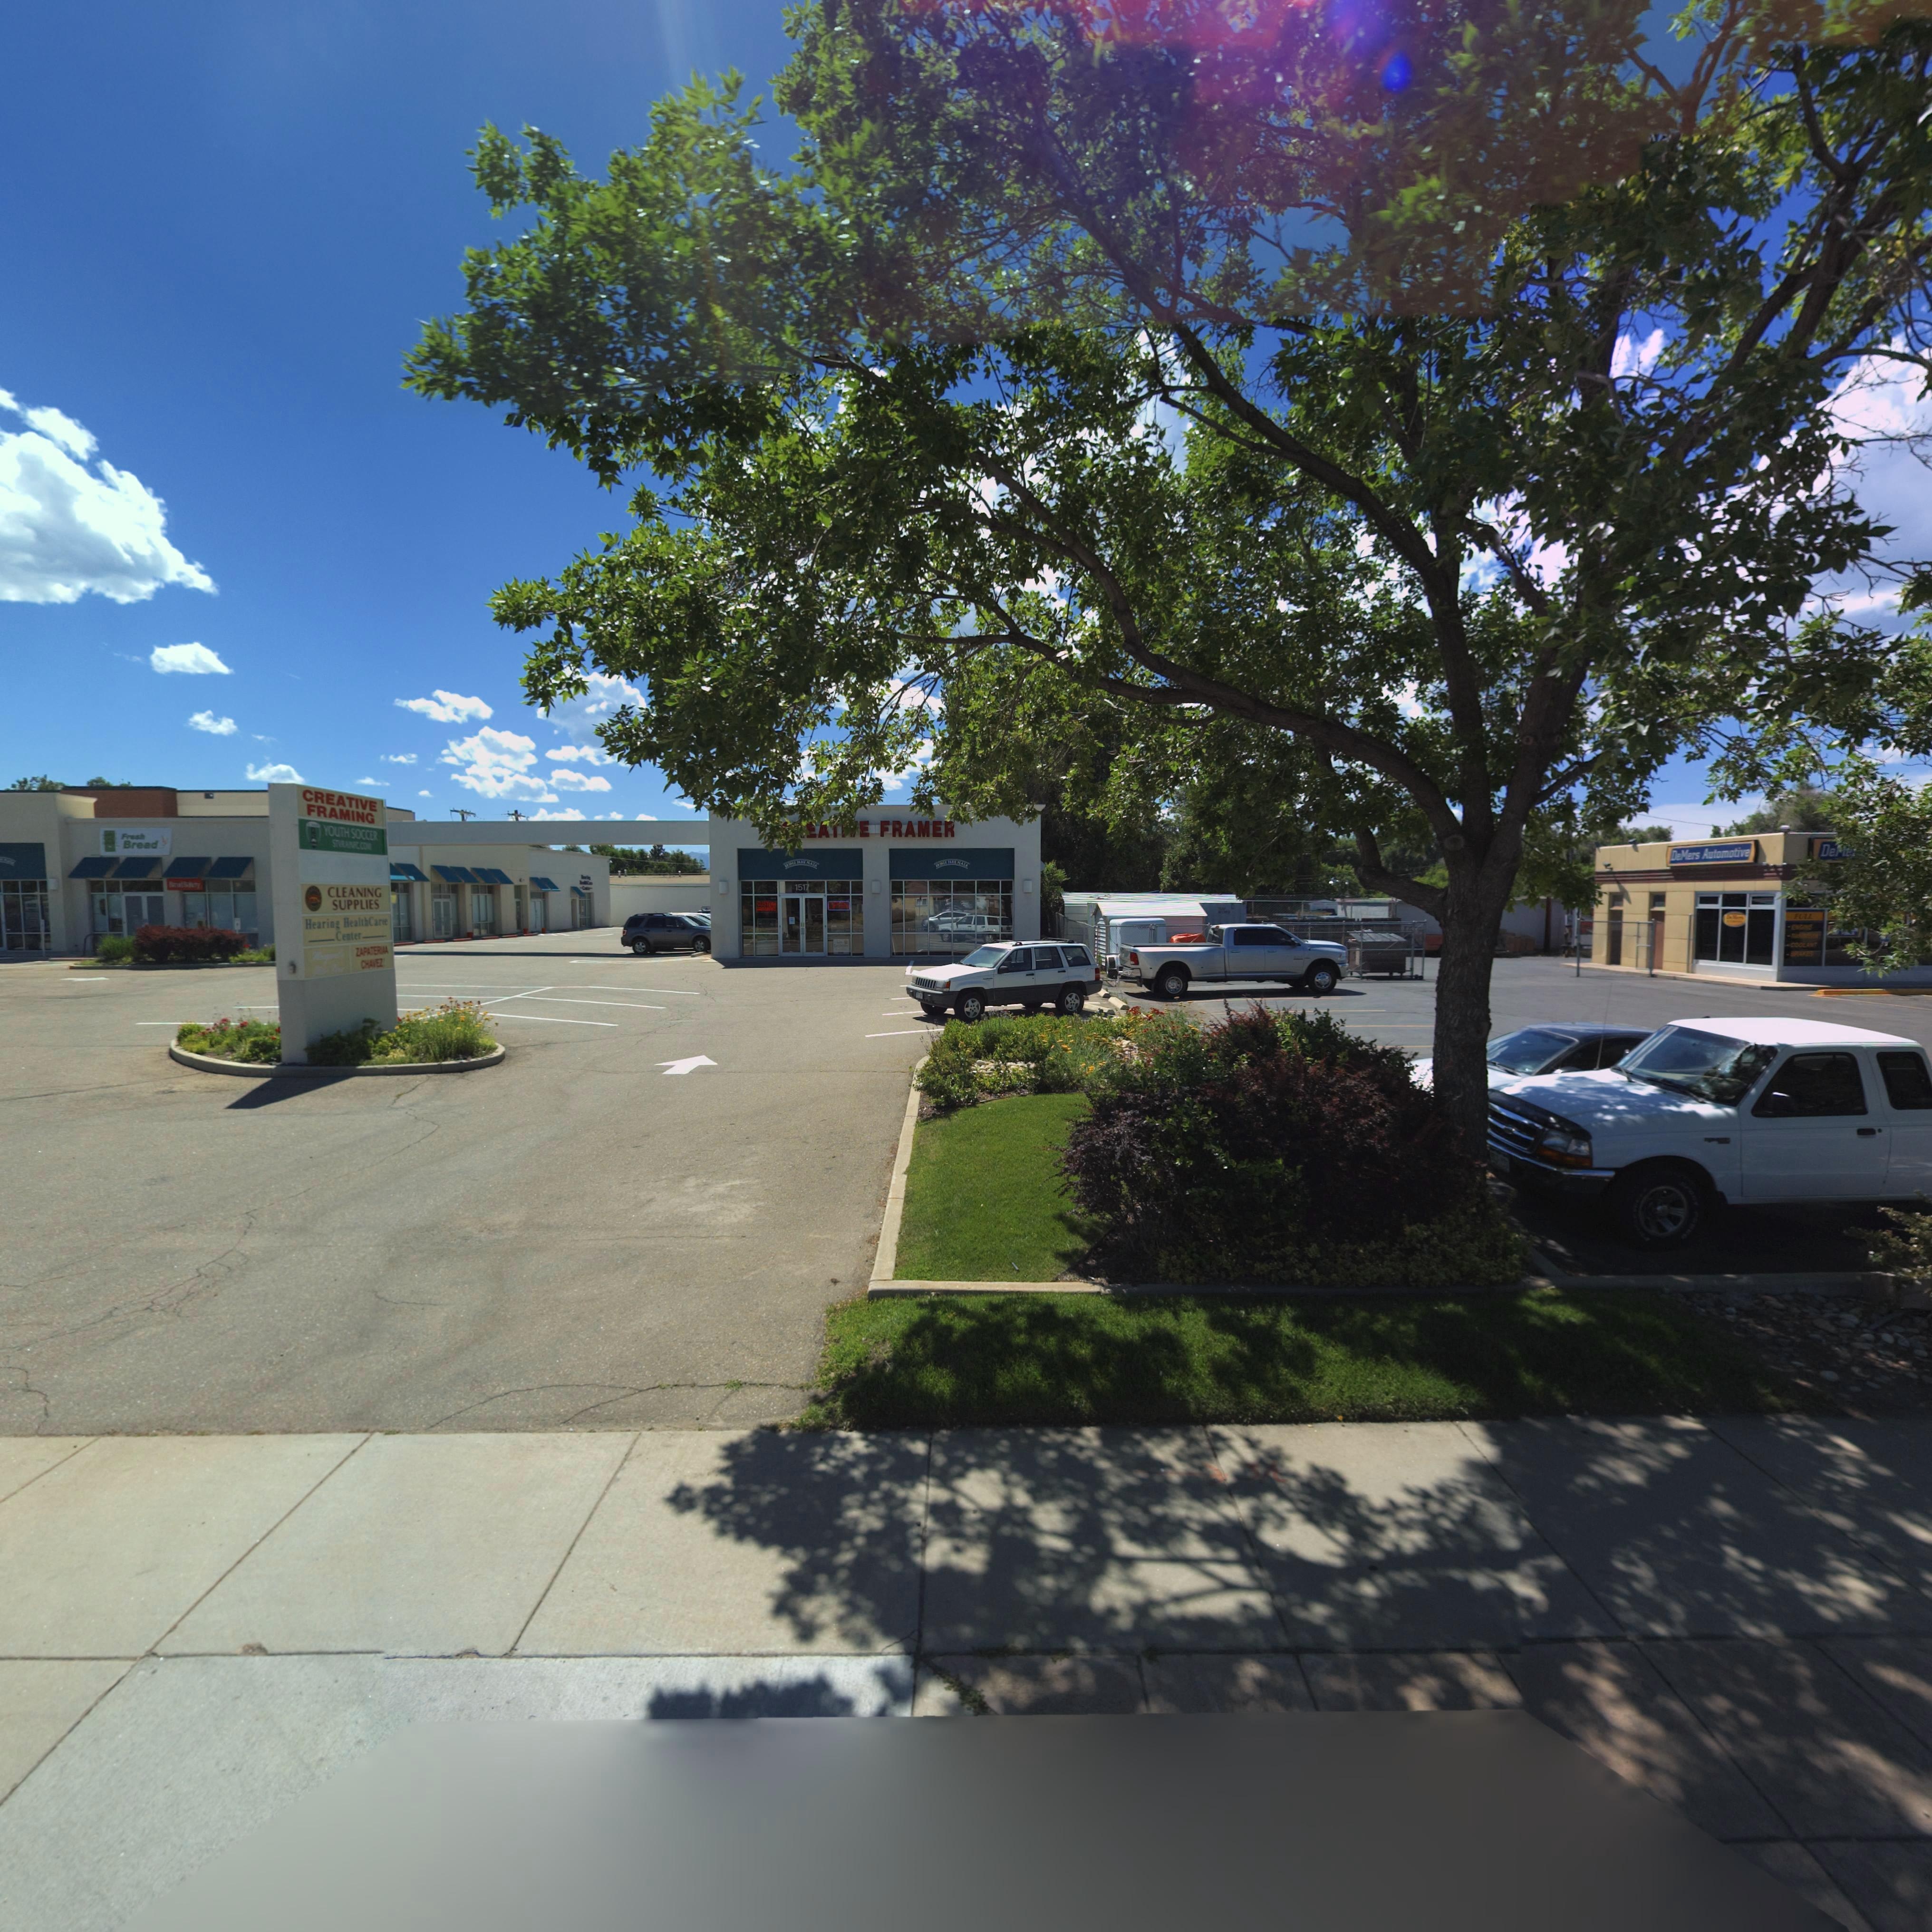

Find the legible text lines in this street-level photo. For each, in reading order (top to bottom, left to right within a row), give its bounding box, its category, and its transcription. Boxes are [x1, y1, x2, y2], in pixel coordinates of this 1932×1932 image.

[302, 789, 377, 812] BusinessName: CREATIVE
[306, 803, 375, 824] BusinessName: FRAMING
[779, 819, 955, 838] BusinessName: **EATIVE FRAMER
[1671, 847, 1750, 860] BusinessName: DeMers Automotive
[1820, 842, 1851, 857] BusinessName: DeMe
[582, 885, 593, 890] BusinessName: Center
[794, 884, 809, 891] StreetNumber: 1517
[305, 916, 388, 930] BusinessName: Hearing HealthCare
[335, 931, 361, 941] BusinessName: Center
[355, 945, 388, 957] BusinessName: ZAPATERIA
[360, 958, 383, 969] BusinessName: CHAVEZ